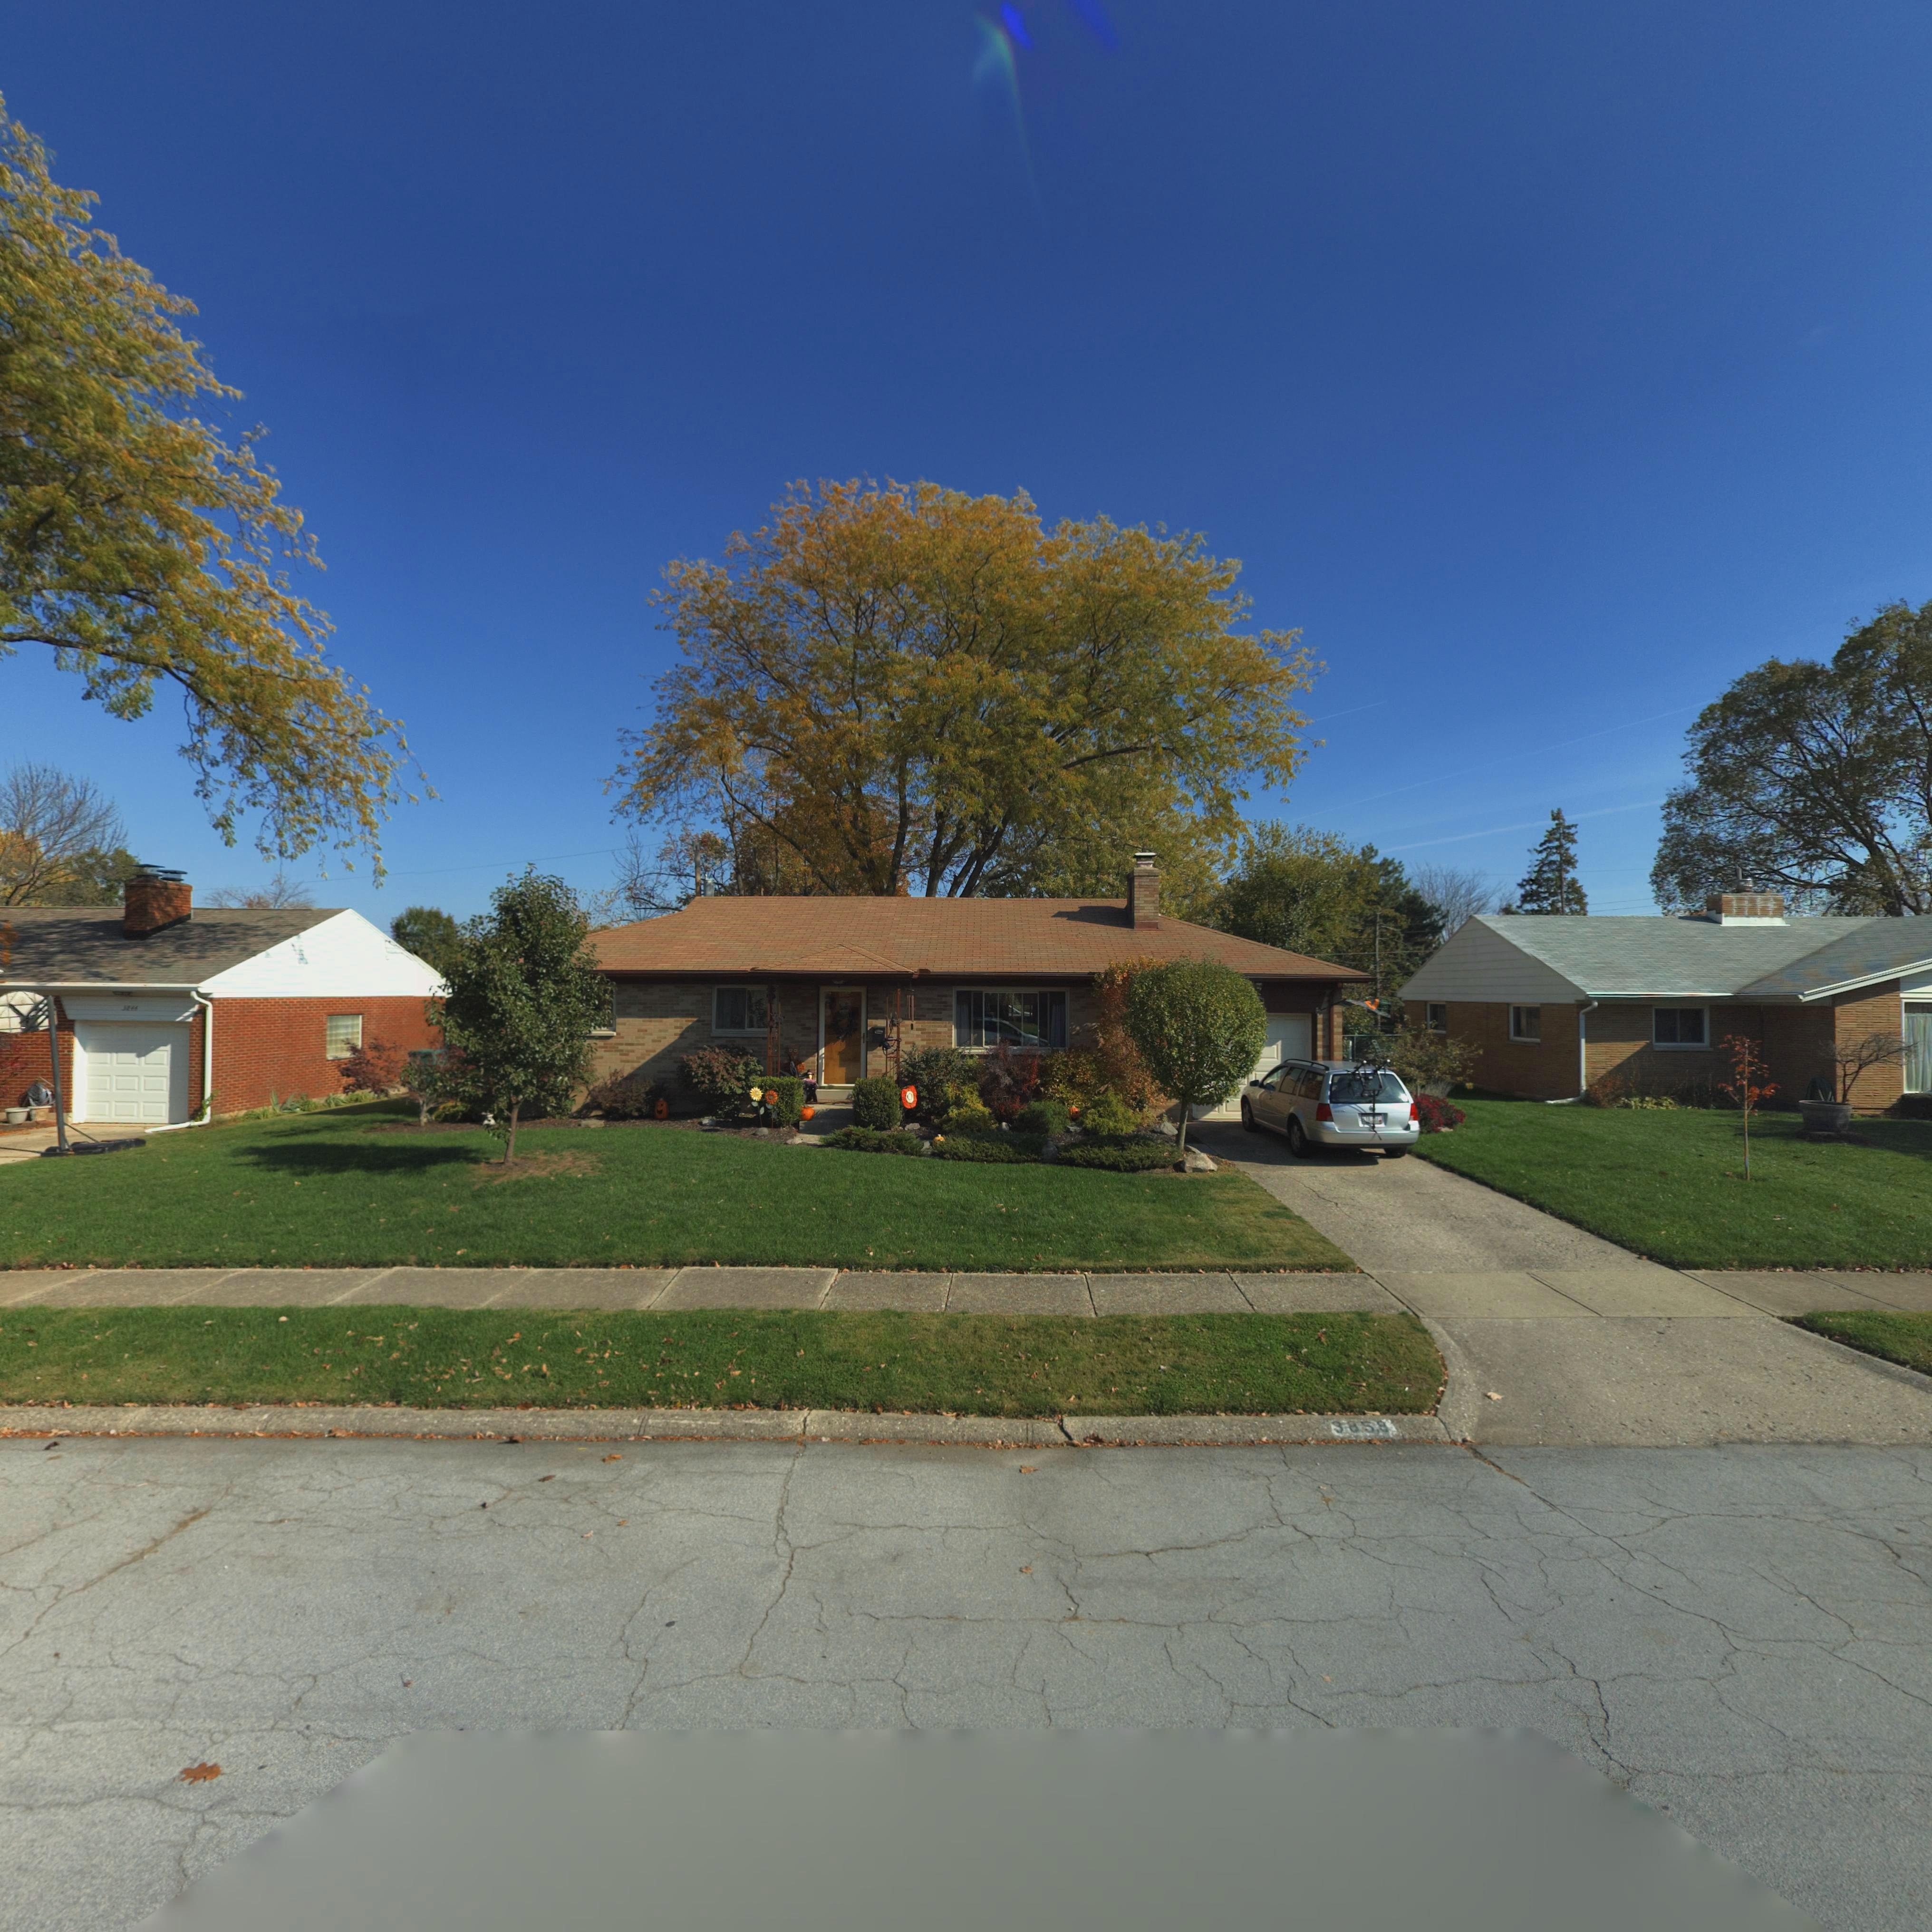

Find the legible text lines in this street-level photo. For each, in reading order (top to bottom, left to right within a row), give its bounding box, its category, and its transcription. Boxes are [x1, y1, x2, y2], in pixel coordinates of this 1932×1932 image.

[1331, 1420, 1390, 1433] StreetNumber: 3858